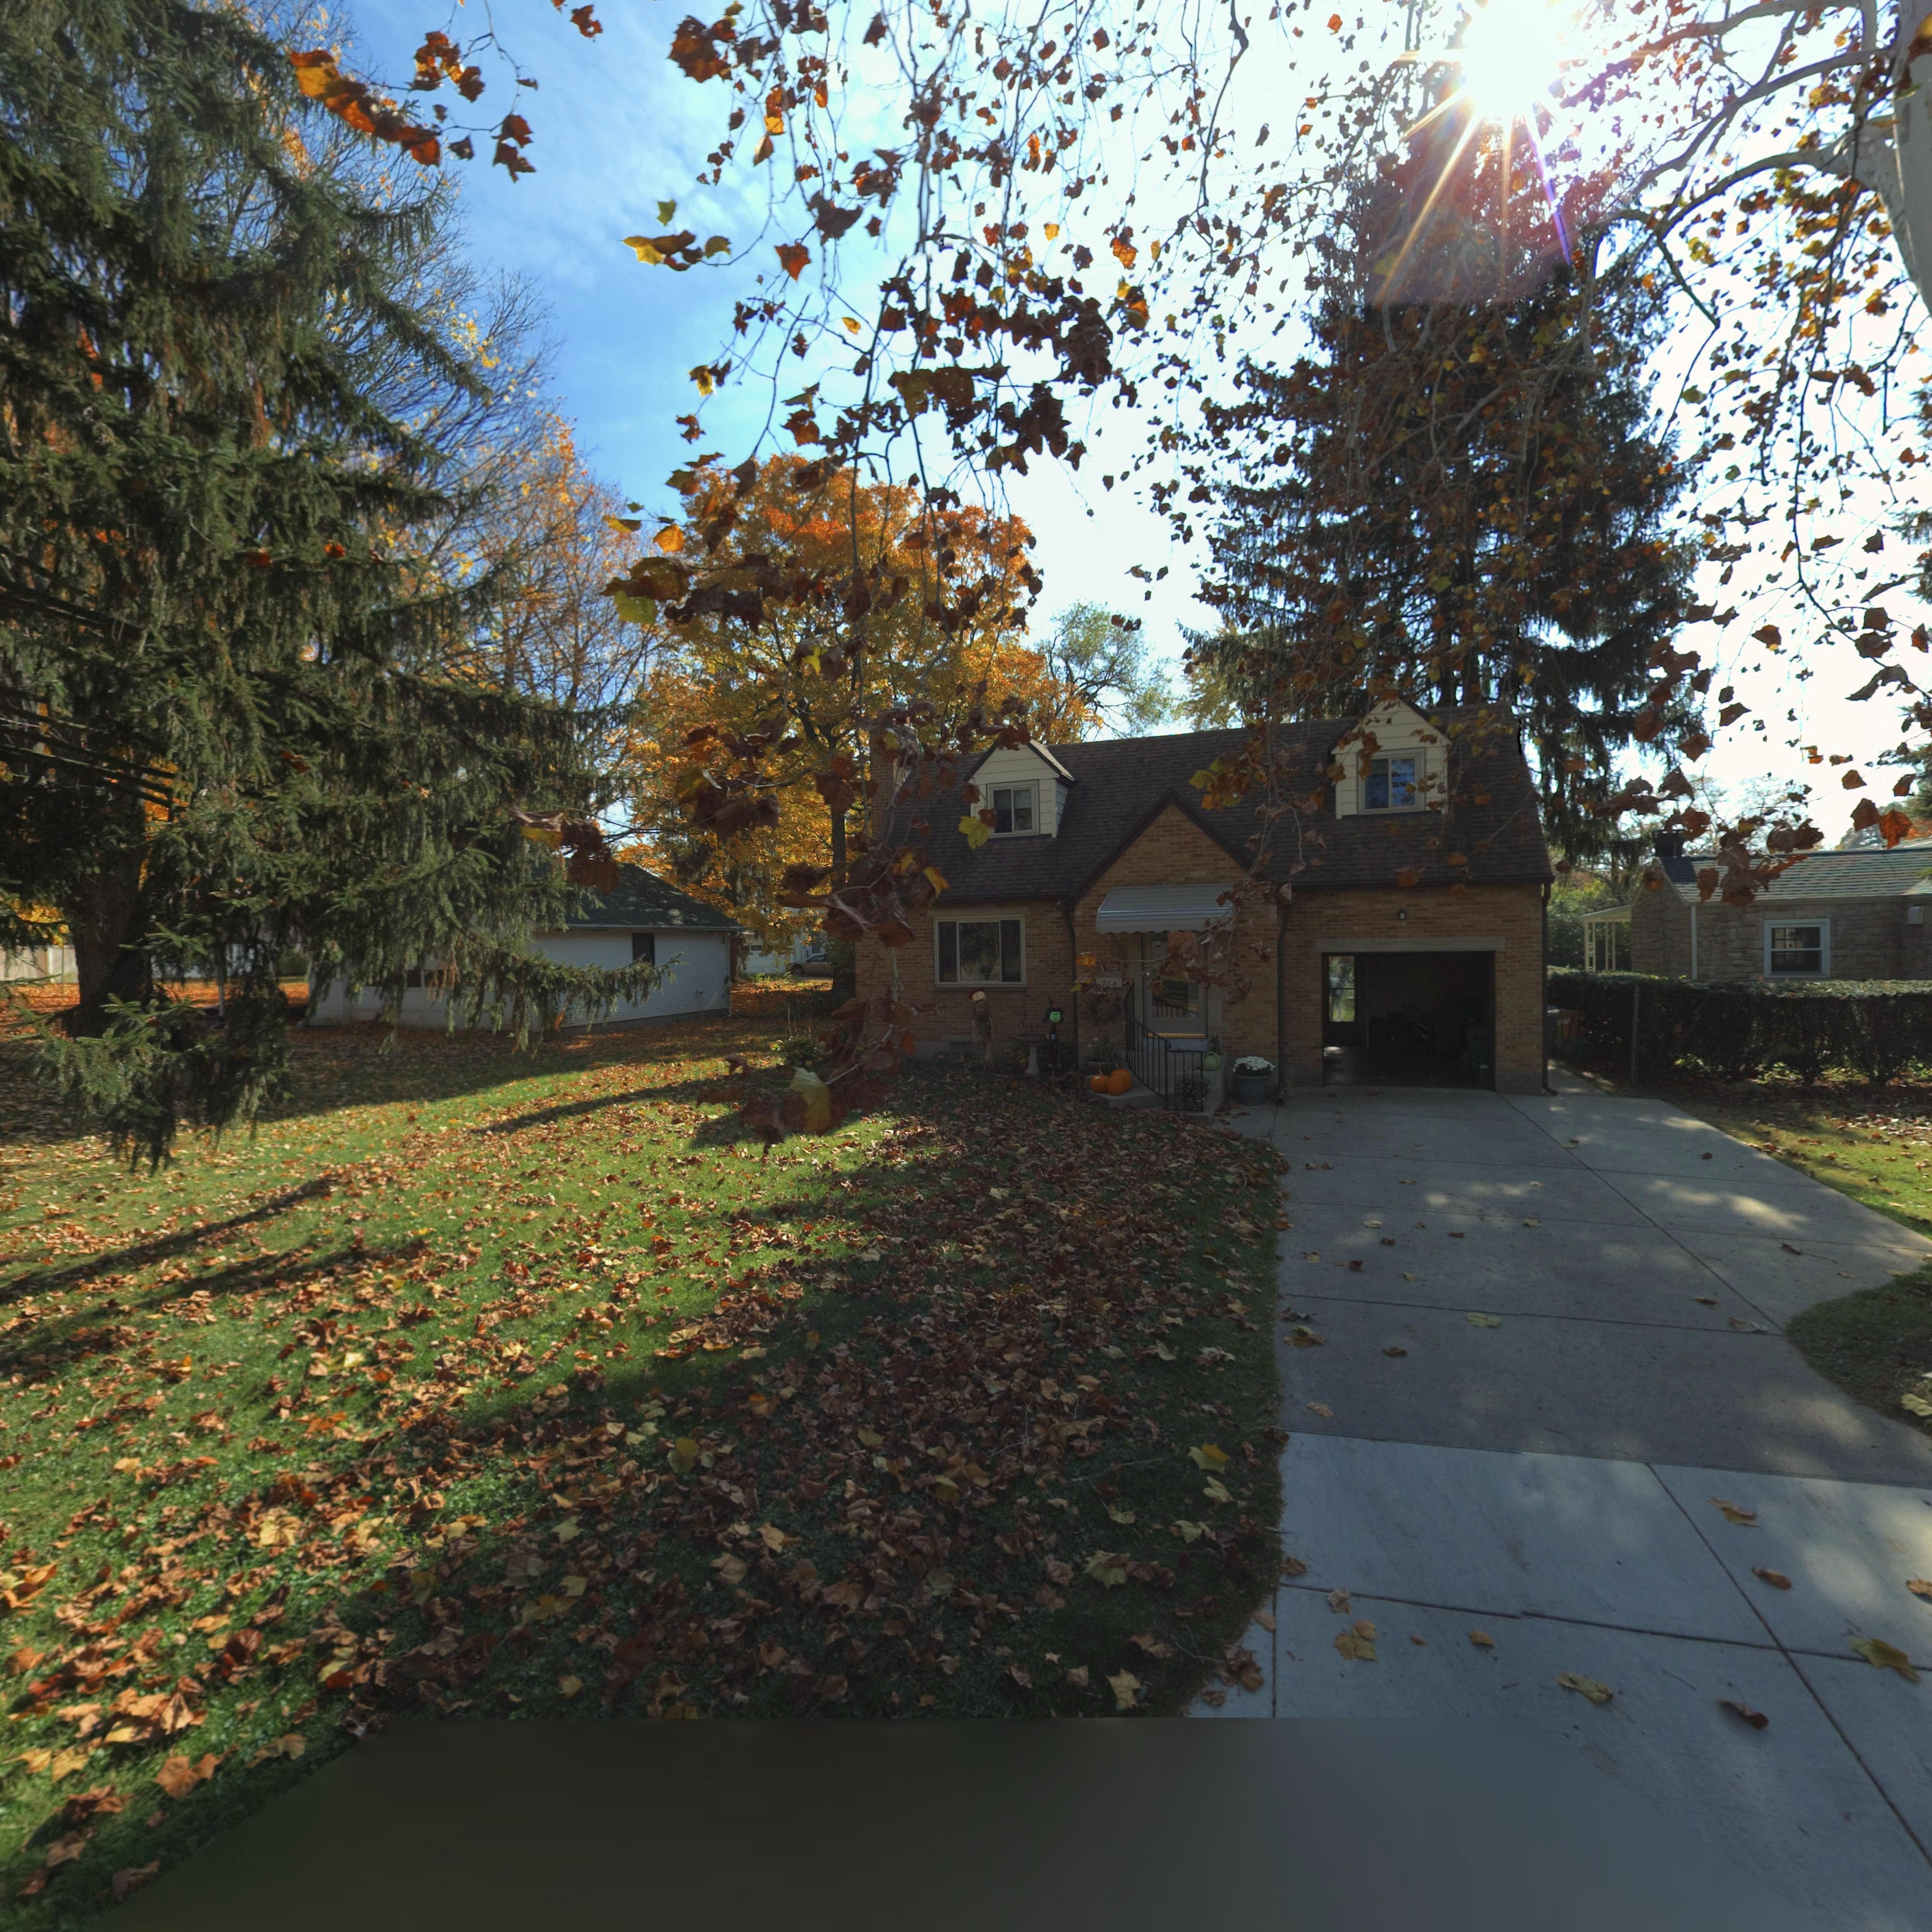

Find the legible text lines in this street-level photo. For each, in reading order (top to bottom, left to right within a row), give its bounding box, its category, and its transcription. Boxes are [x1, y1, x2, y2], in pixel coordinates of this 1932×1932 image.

[1101, 980, 1117, 987] StreetNumber: 704
[1051, 1034, 1055, 1040] None: B